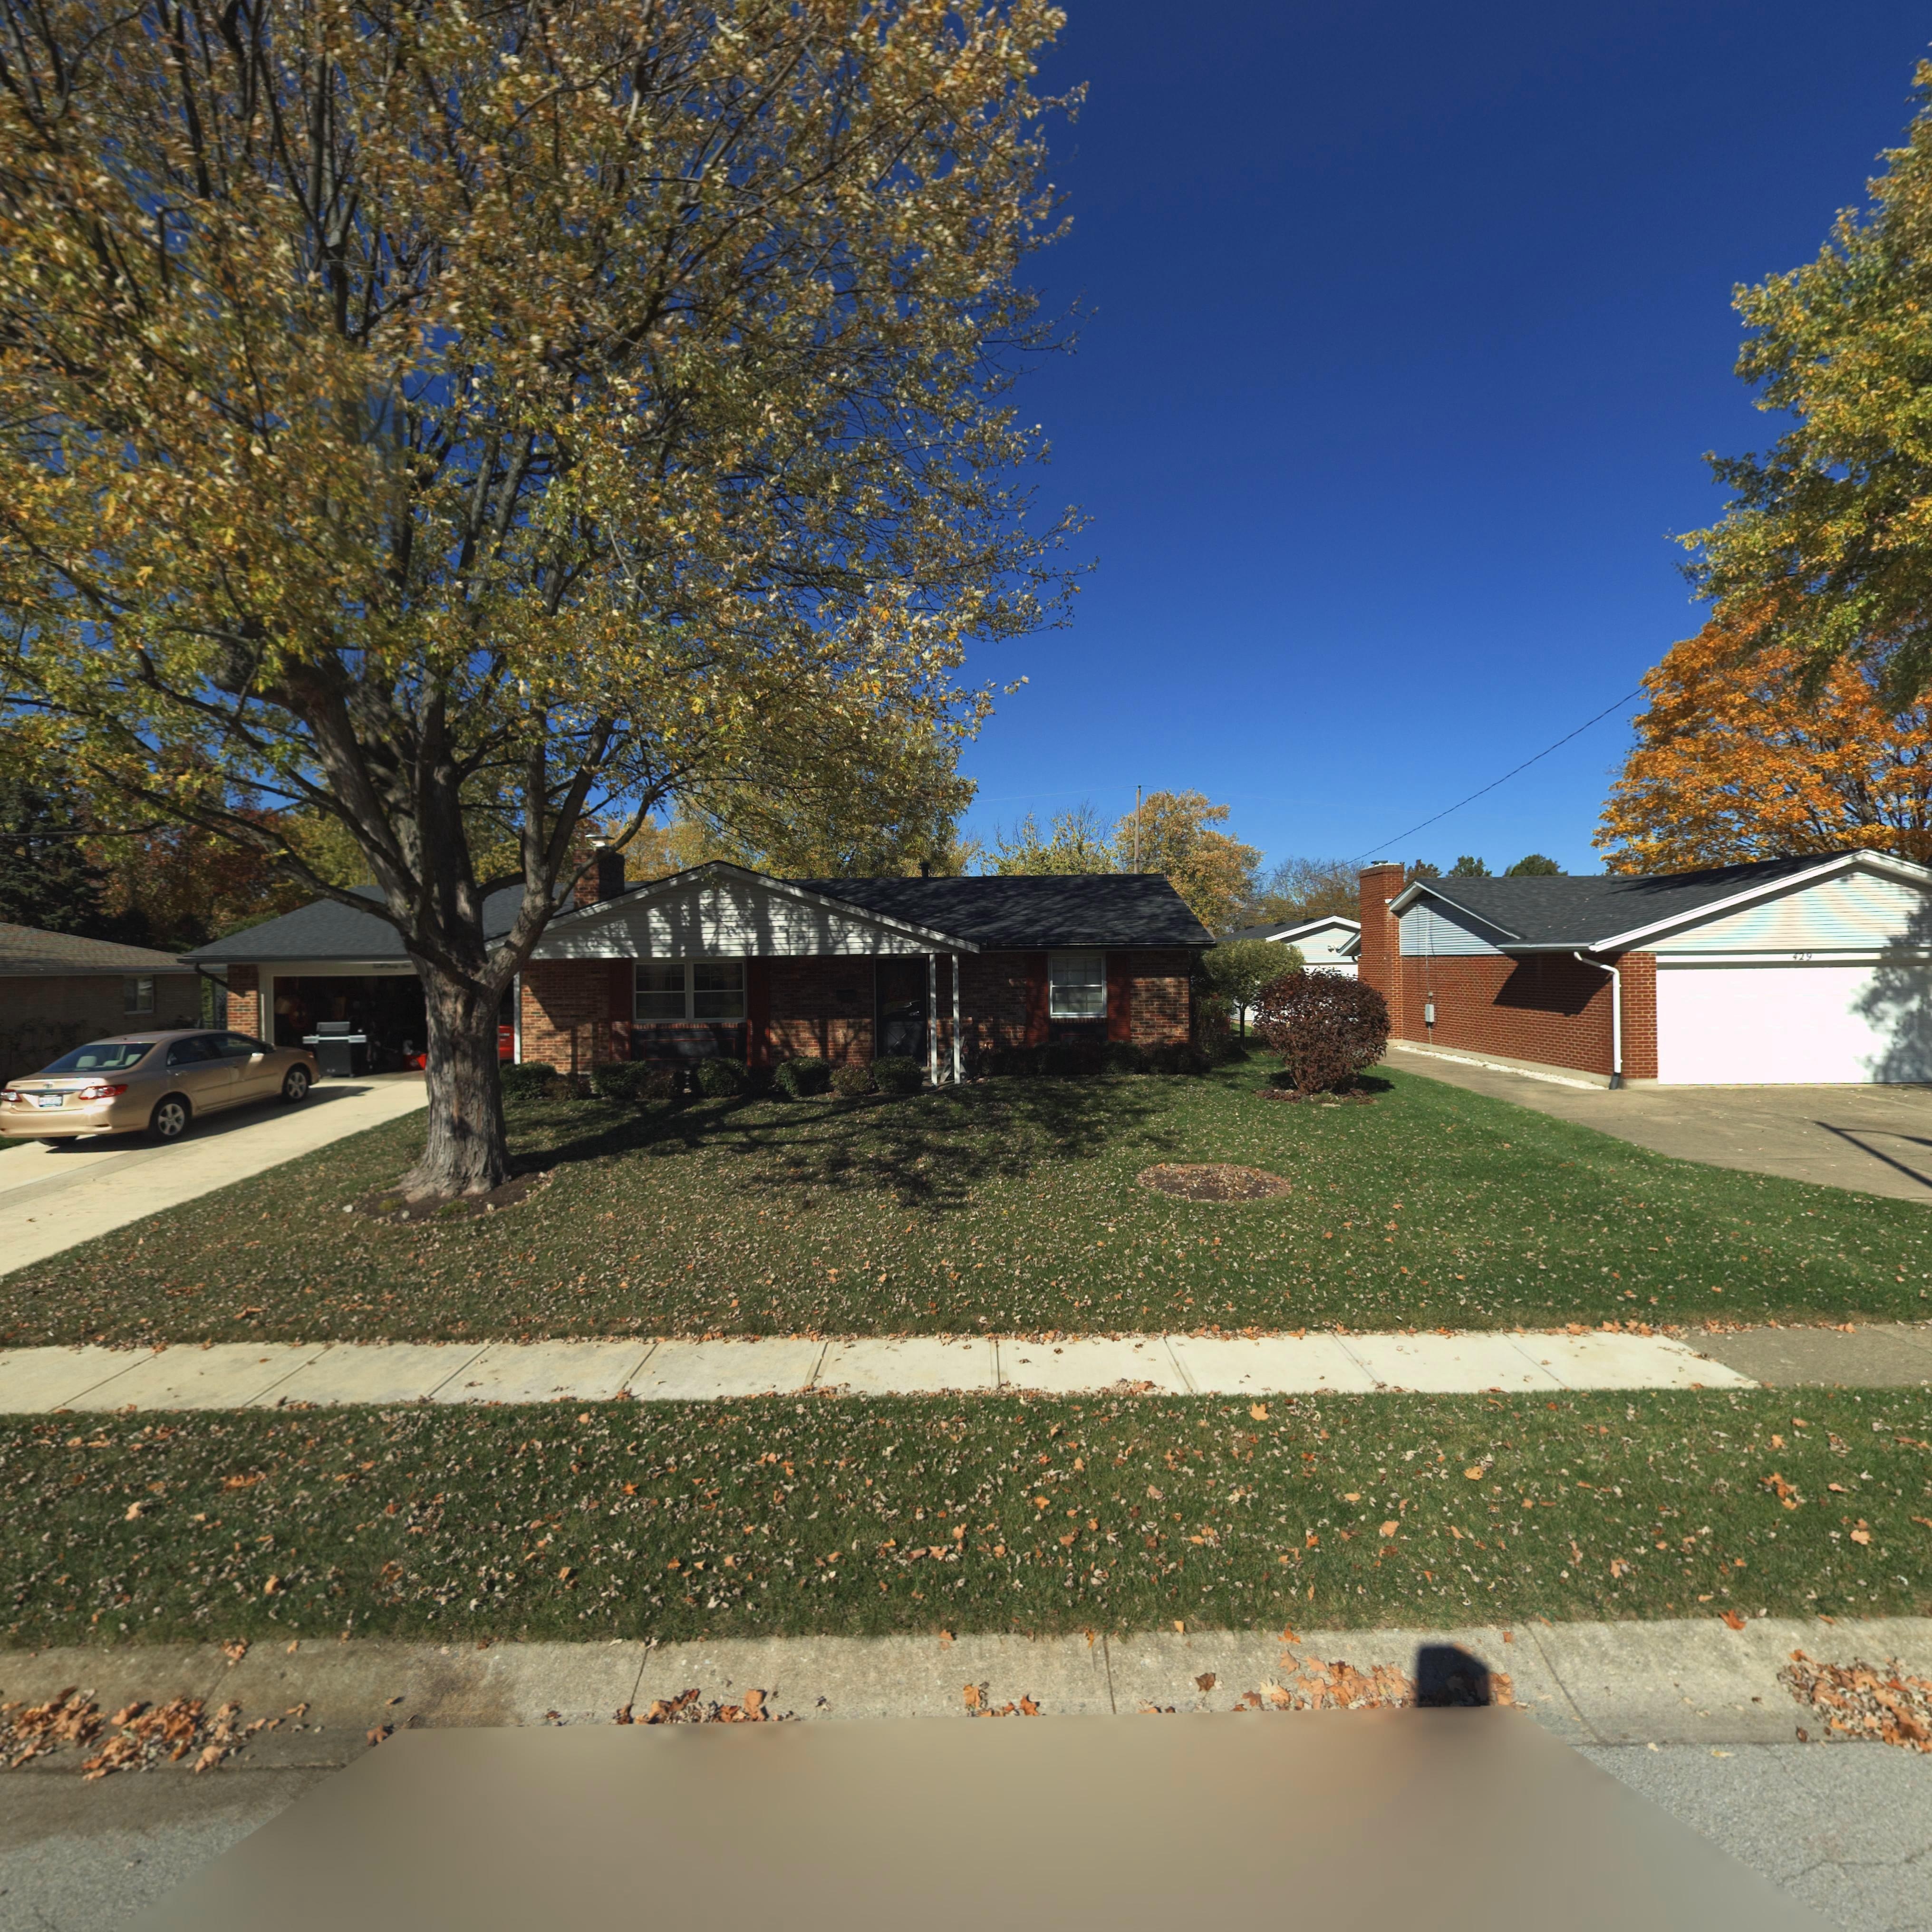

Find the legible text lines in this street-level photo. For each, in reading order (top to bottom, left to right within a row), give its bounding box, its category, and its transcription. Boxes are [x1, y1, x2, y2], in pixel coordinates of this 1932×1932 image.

[1791, 951, 1813, 962] StreetNumber: 429